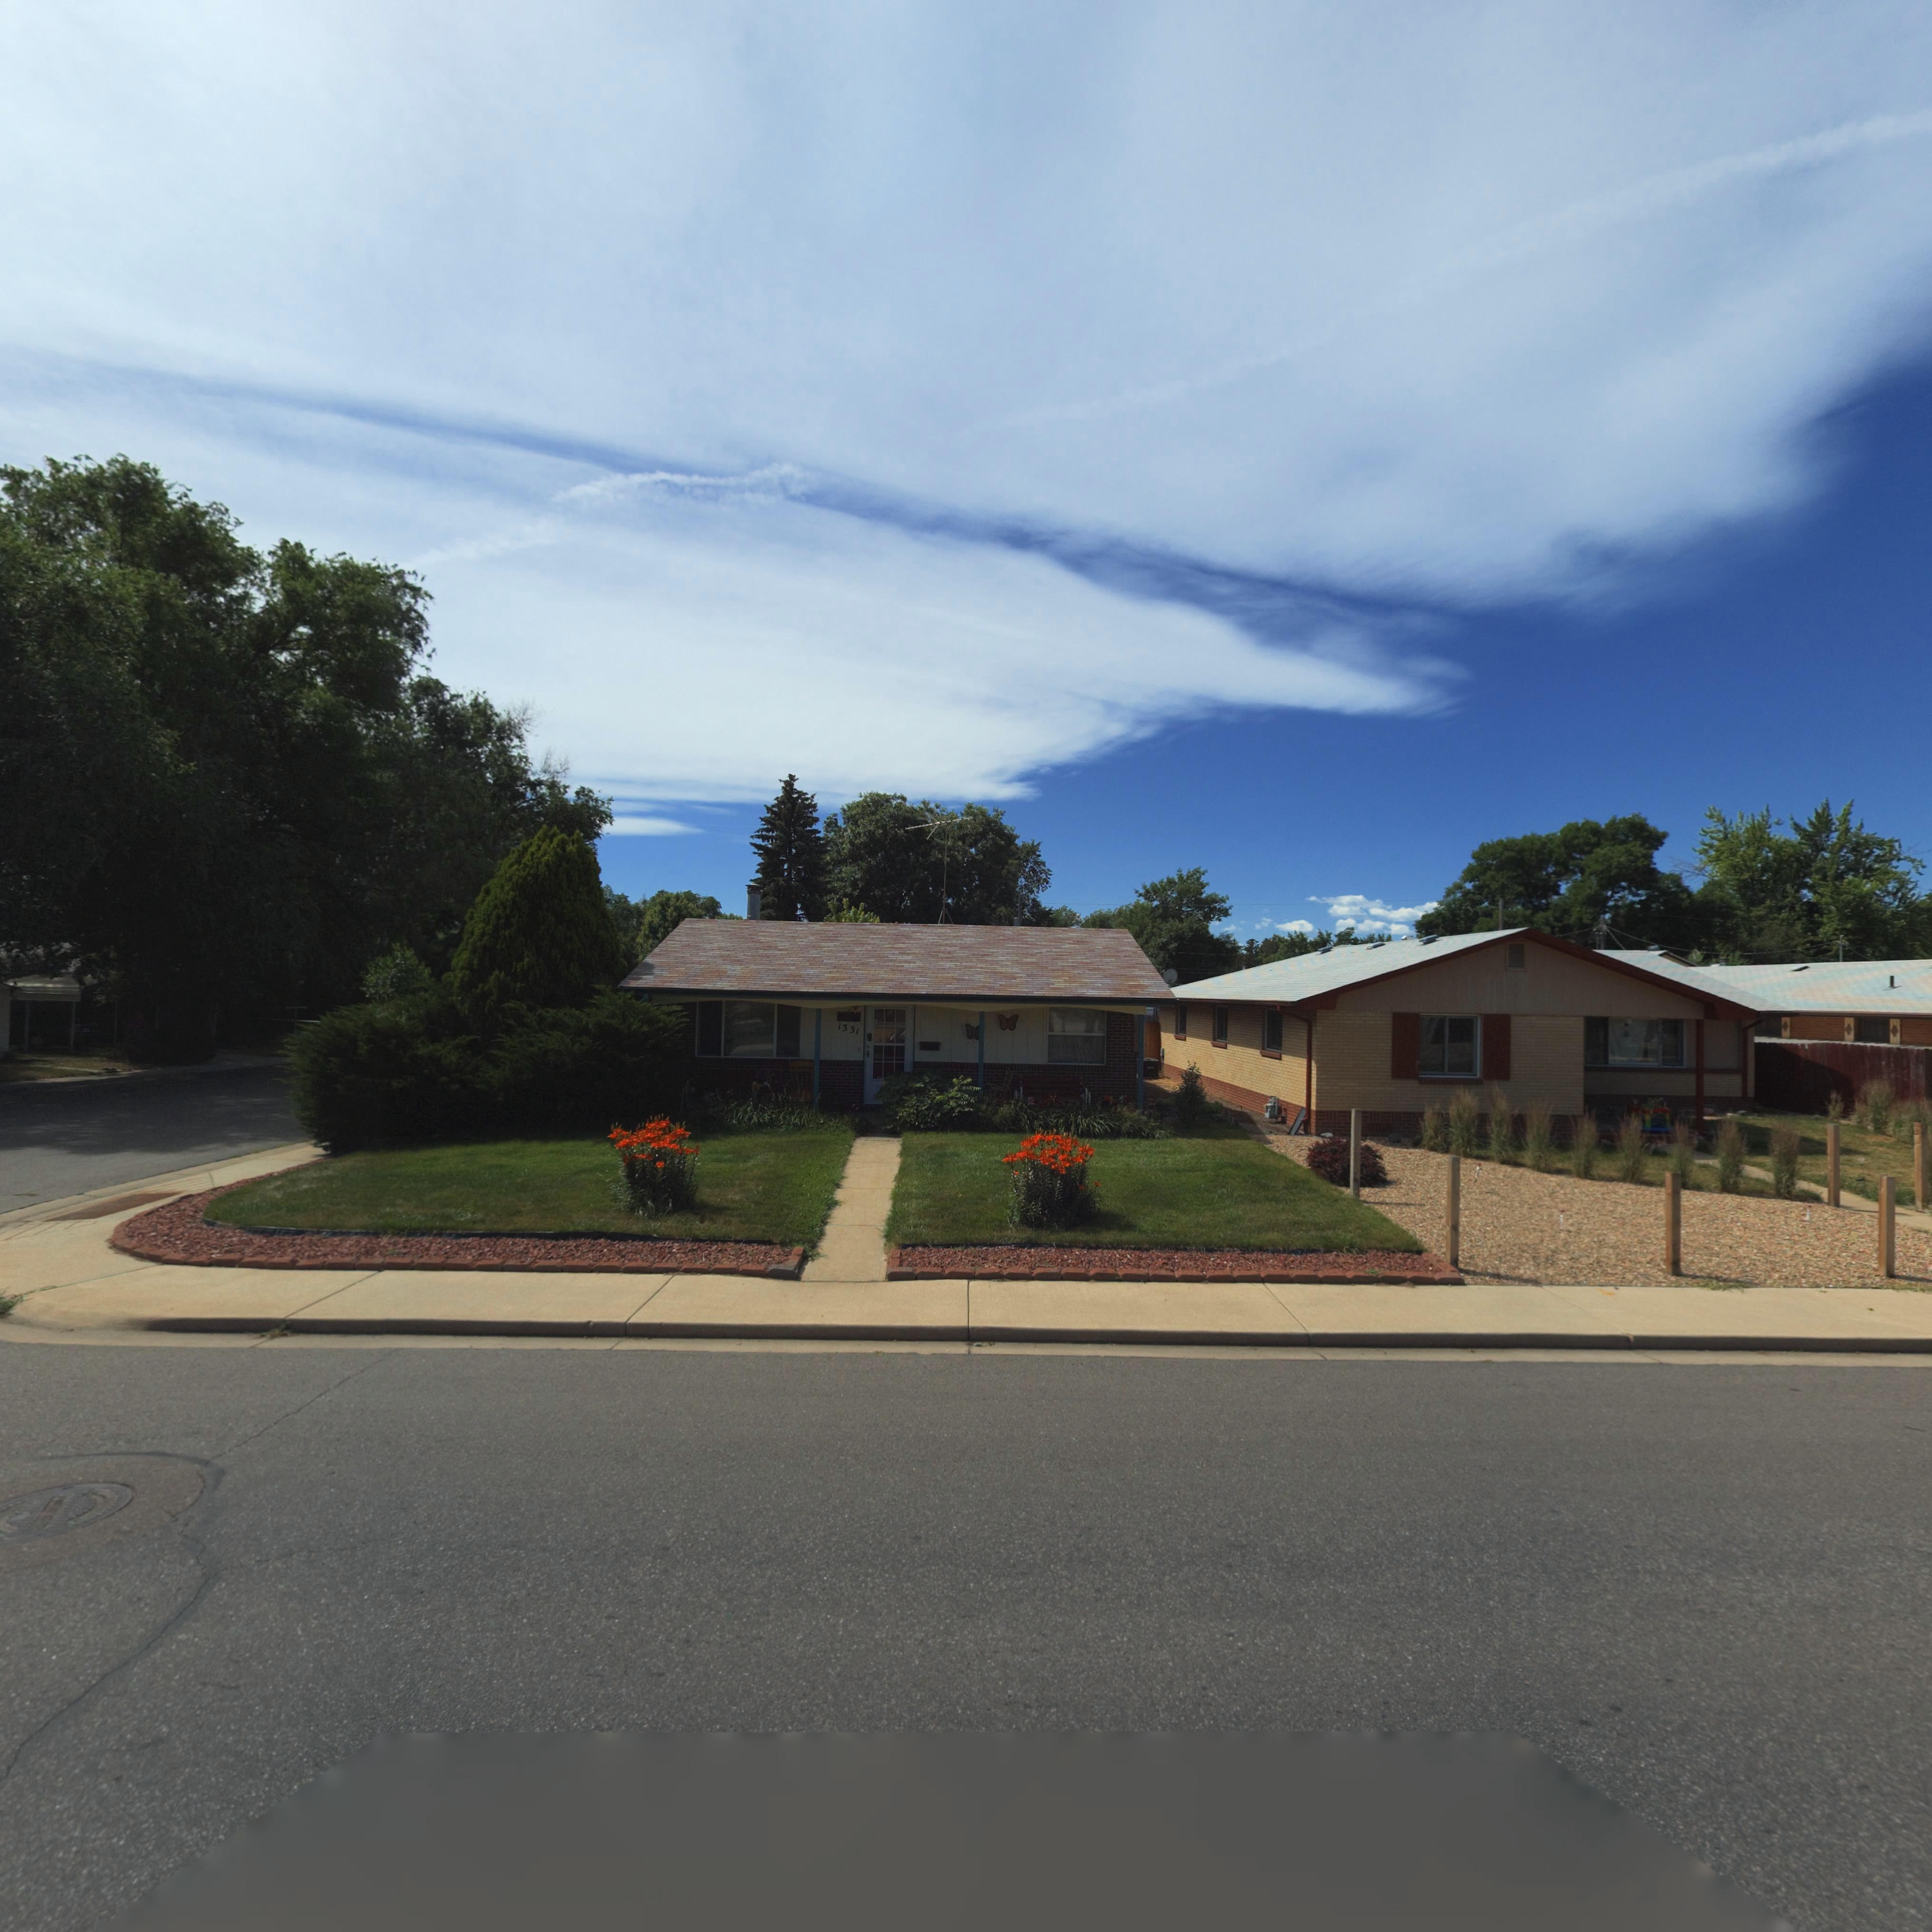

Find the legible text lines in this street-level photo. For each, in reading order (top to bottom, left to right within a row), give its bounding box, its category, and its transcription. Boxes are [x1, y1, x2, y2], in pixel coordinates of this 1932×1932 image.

[838, 1022, 859, 1034] StreetNumber: 1331